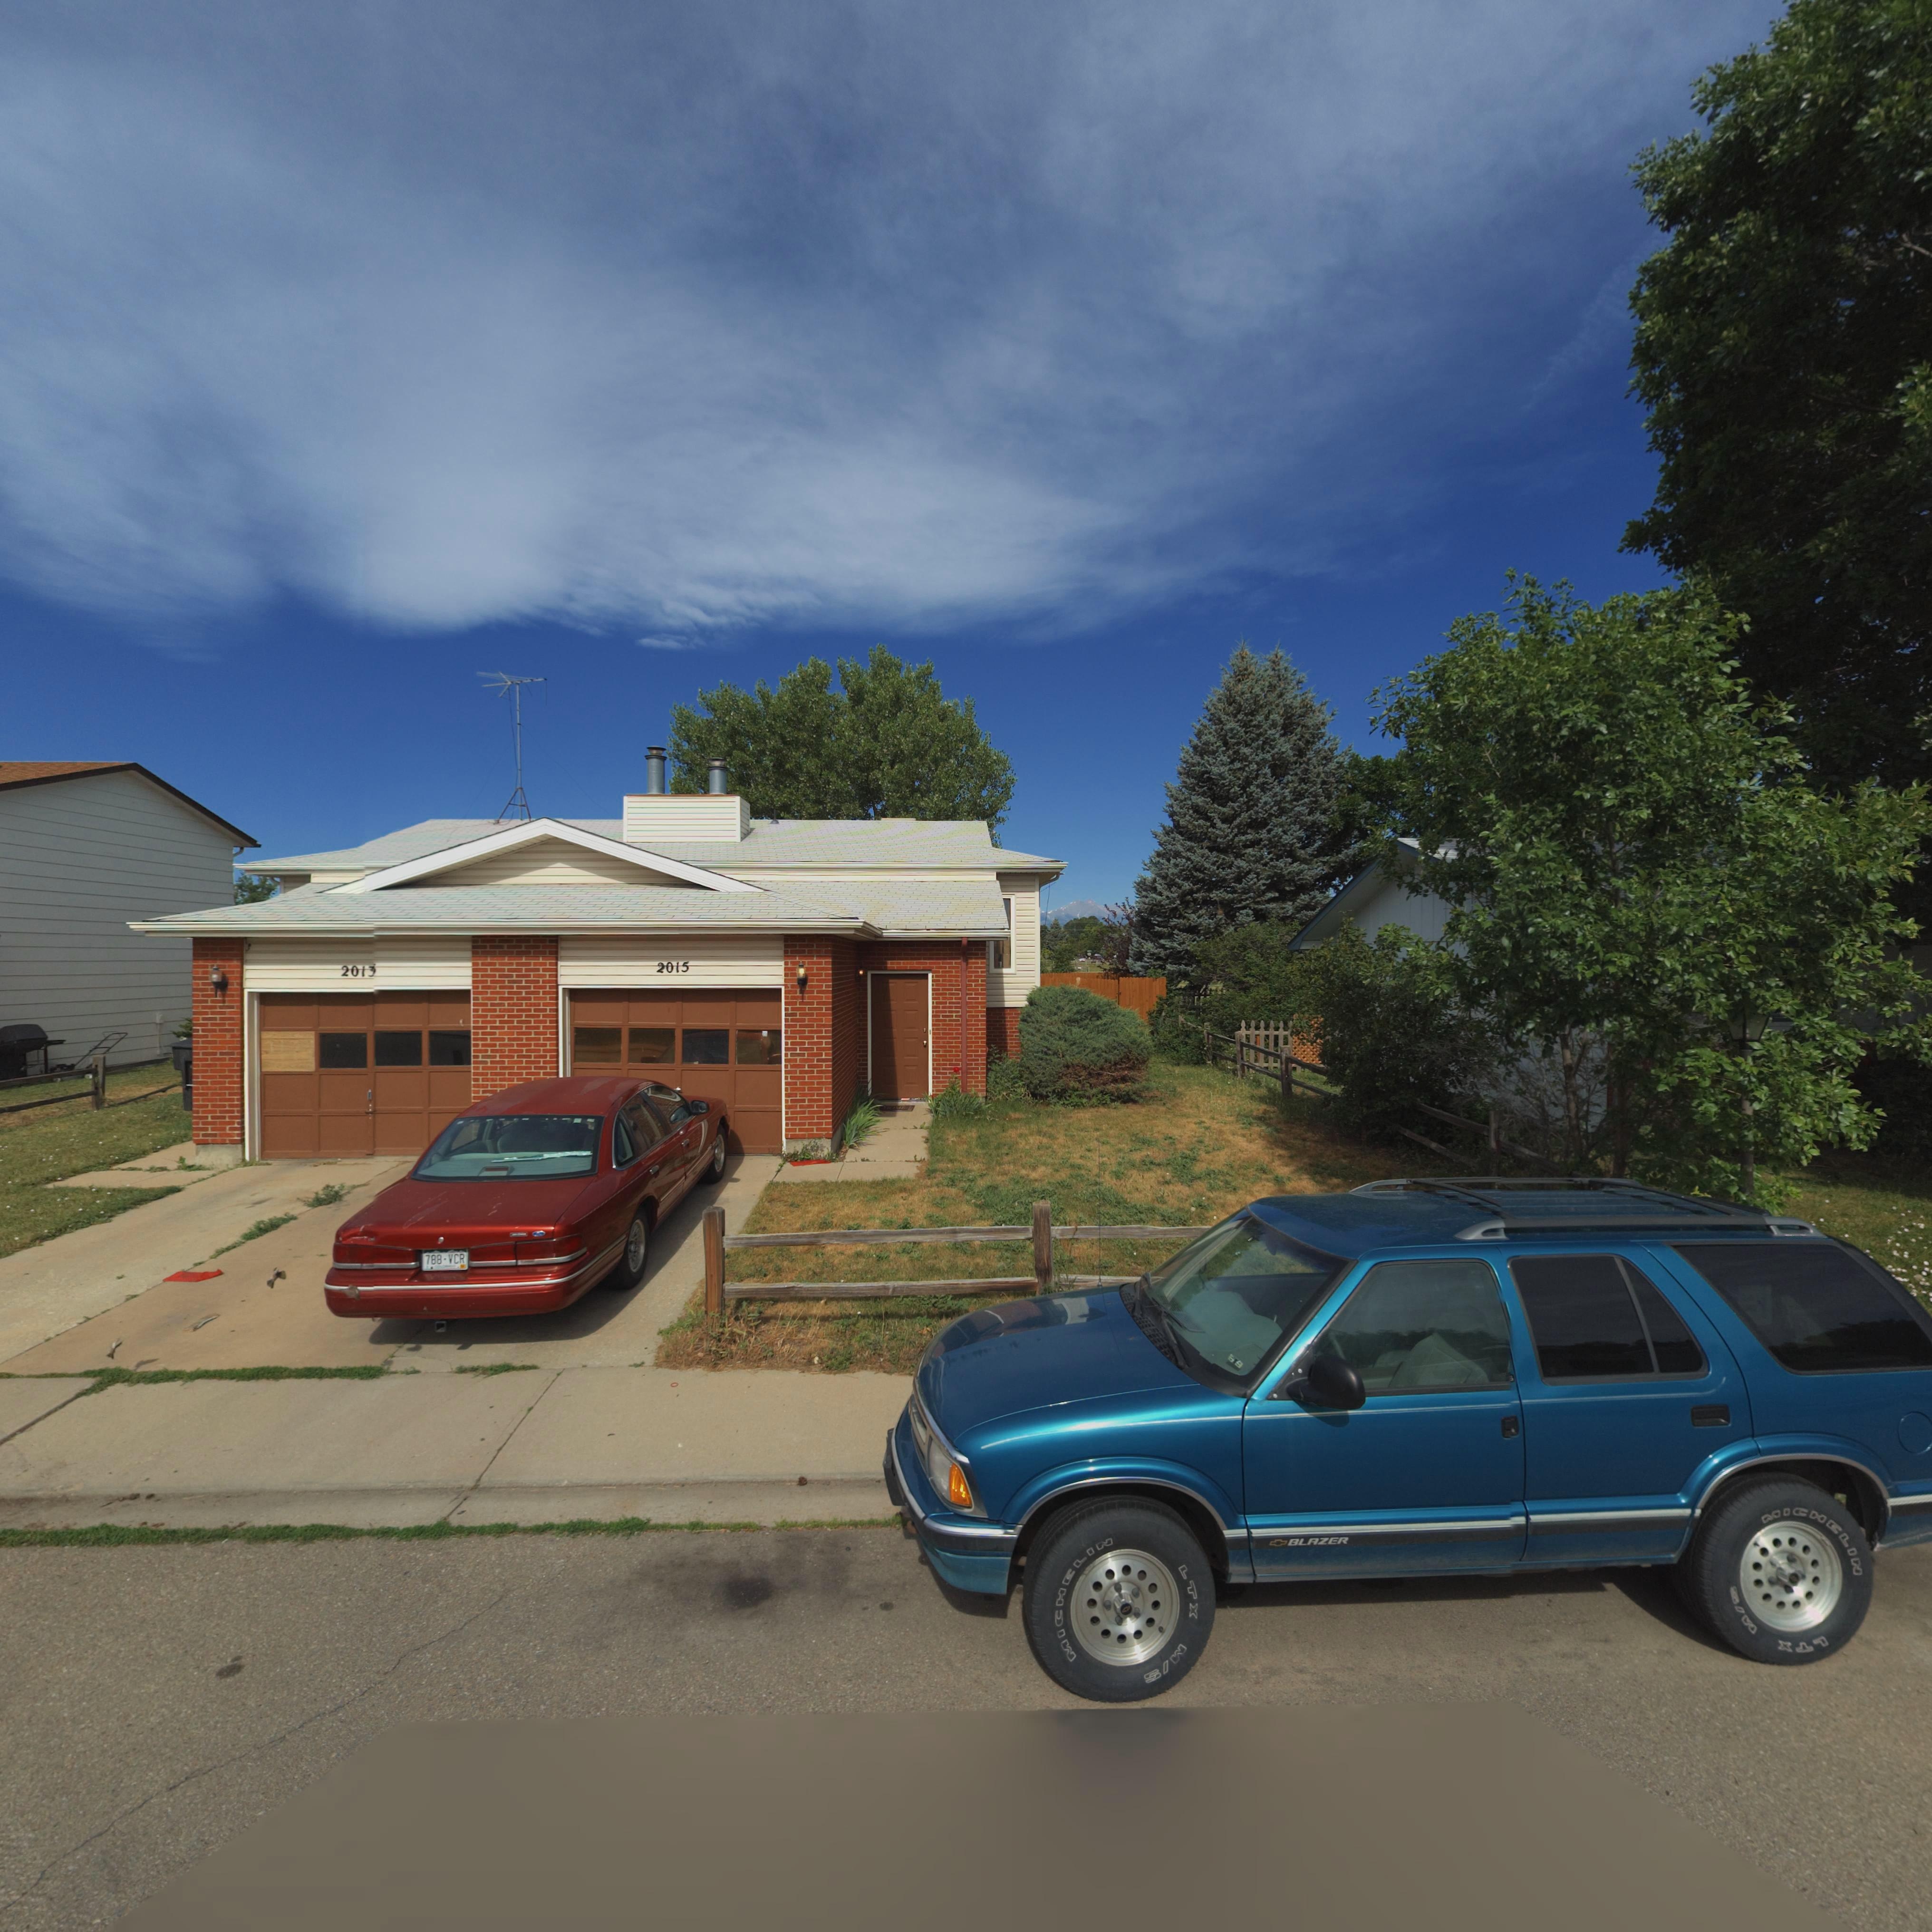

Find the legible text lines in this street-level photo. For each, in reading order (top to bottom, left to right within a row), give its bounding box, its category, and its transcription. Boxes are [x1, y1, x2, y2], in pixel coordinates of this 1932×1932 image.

[340, 965, 376, 977] StreetNumber: 2013
[655, 961, 689, 973] StreetNumber: 2015